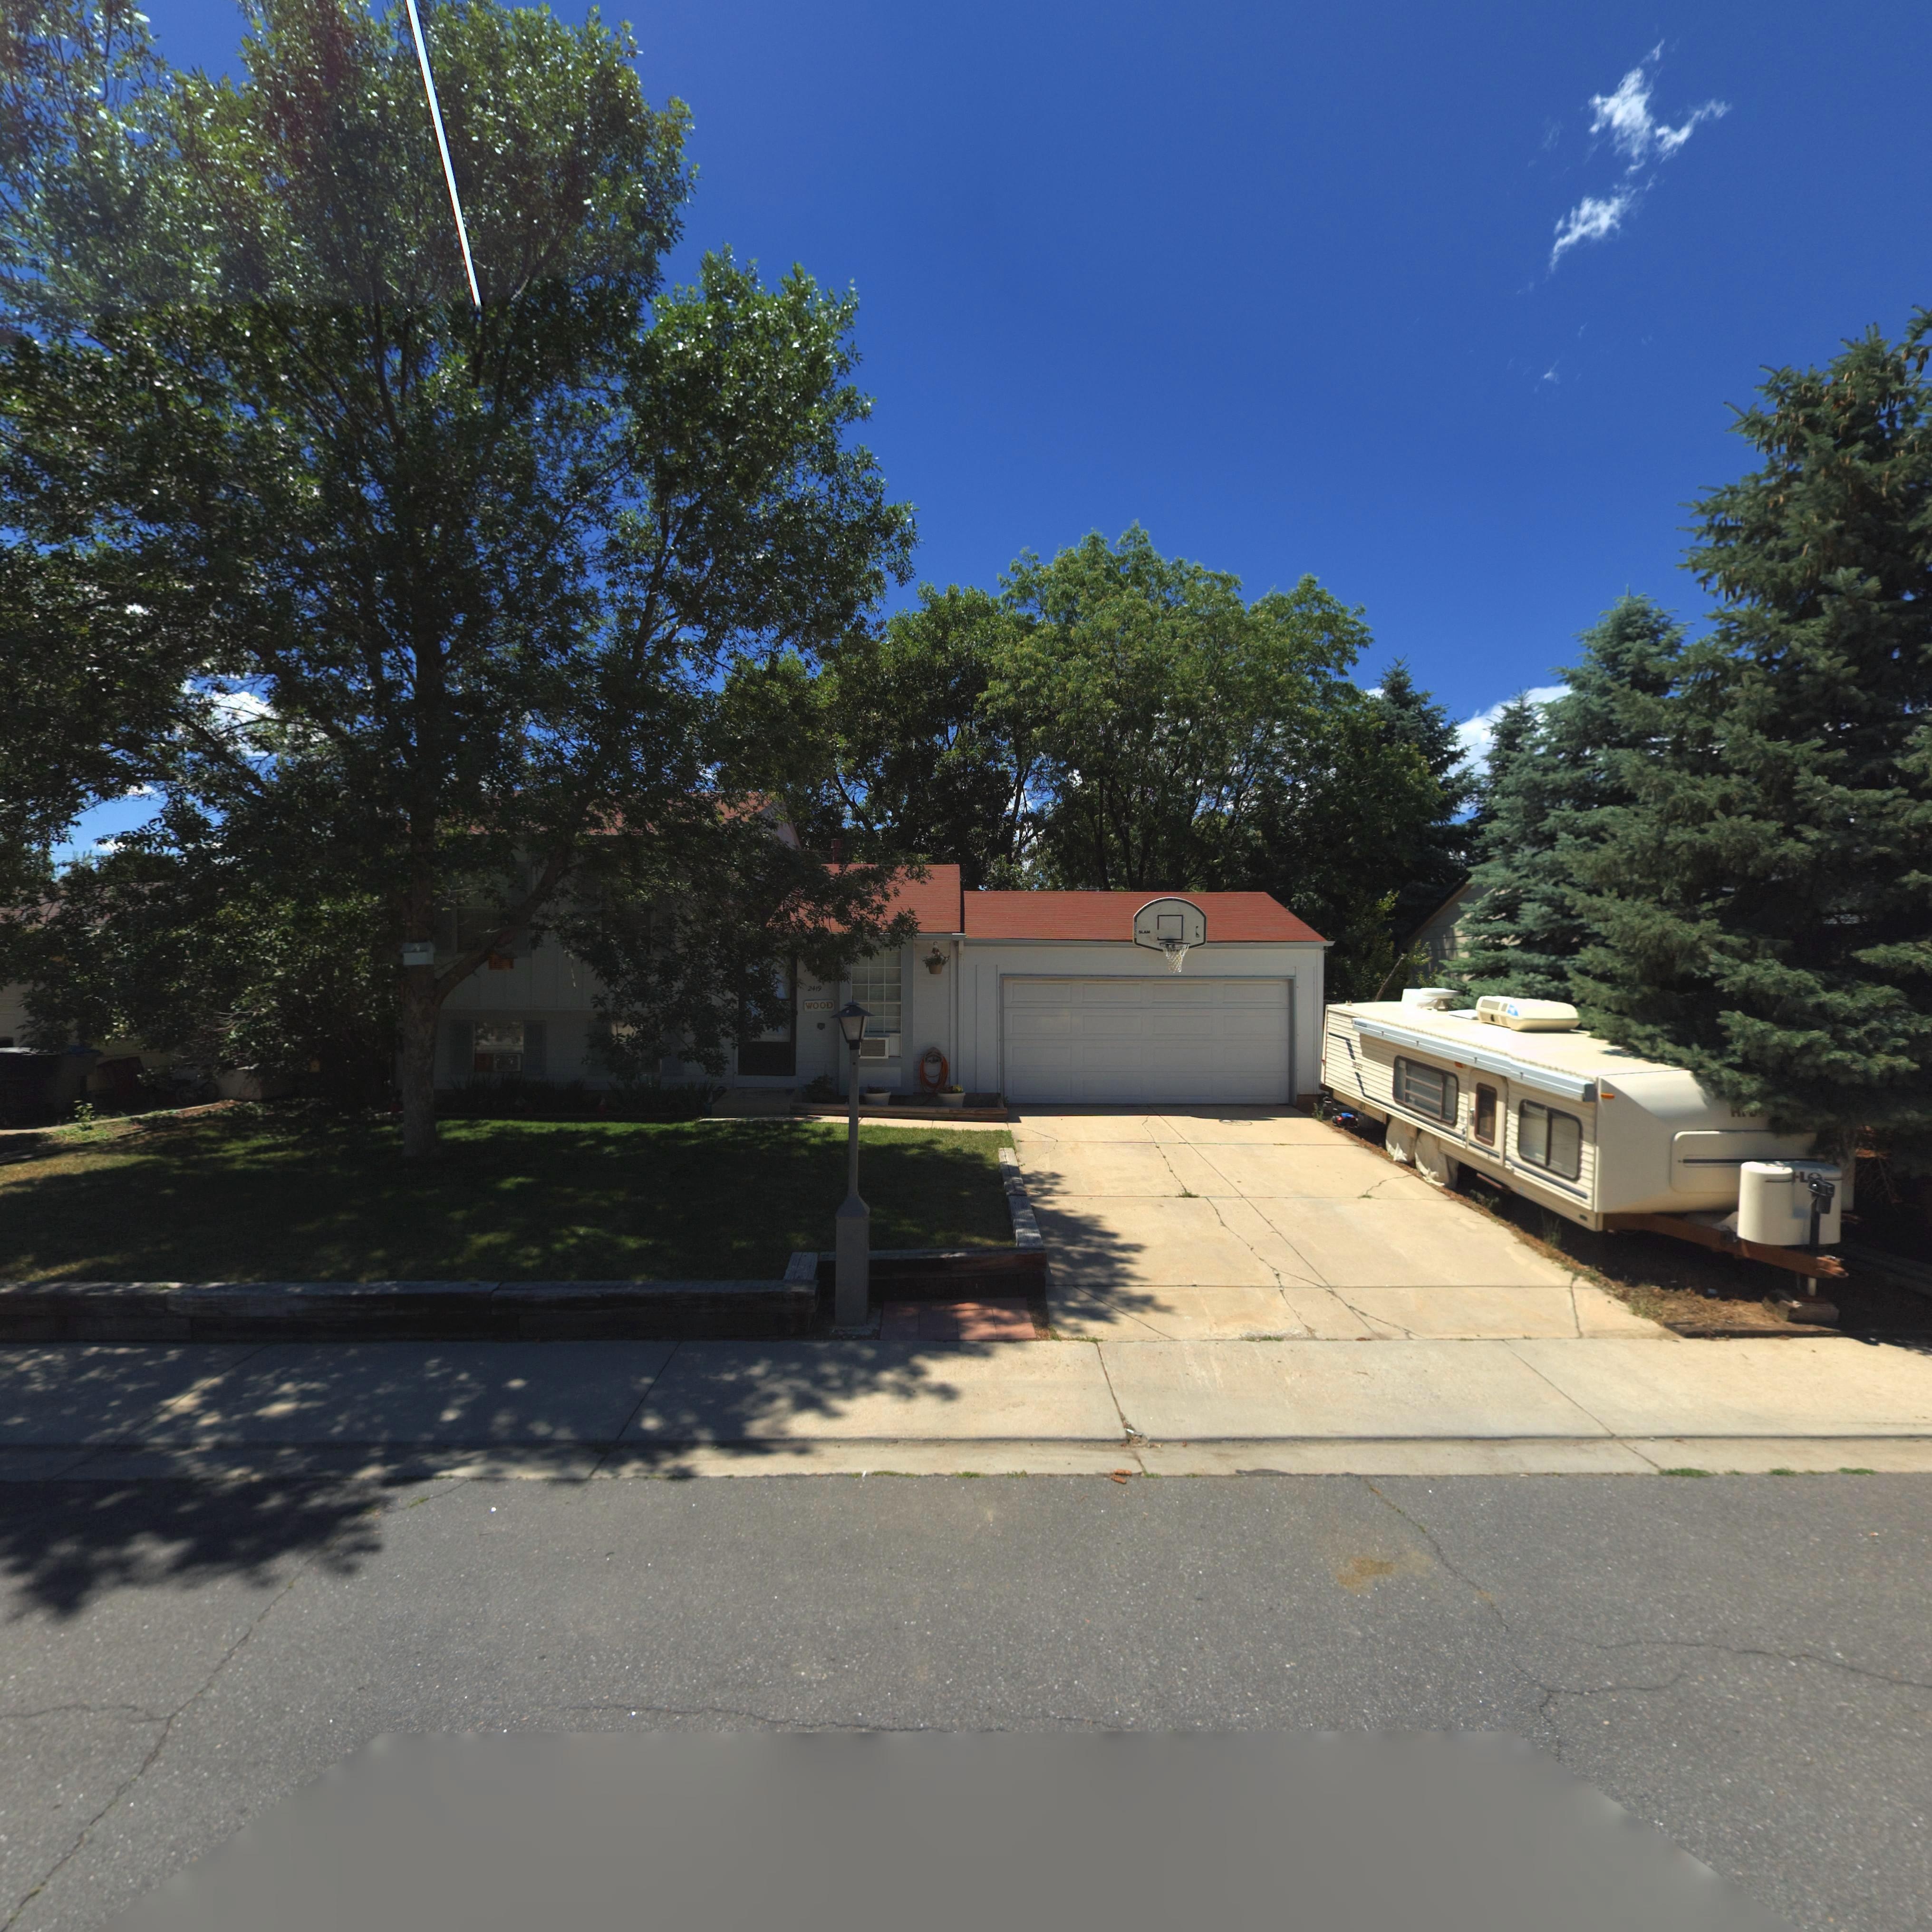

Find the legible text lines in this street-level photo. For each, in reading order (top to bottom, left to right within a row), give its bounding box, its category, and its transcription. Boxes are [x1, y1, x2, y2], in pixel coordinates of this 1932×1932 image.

[808, 985, 821, 991] StreetNumber: 2419